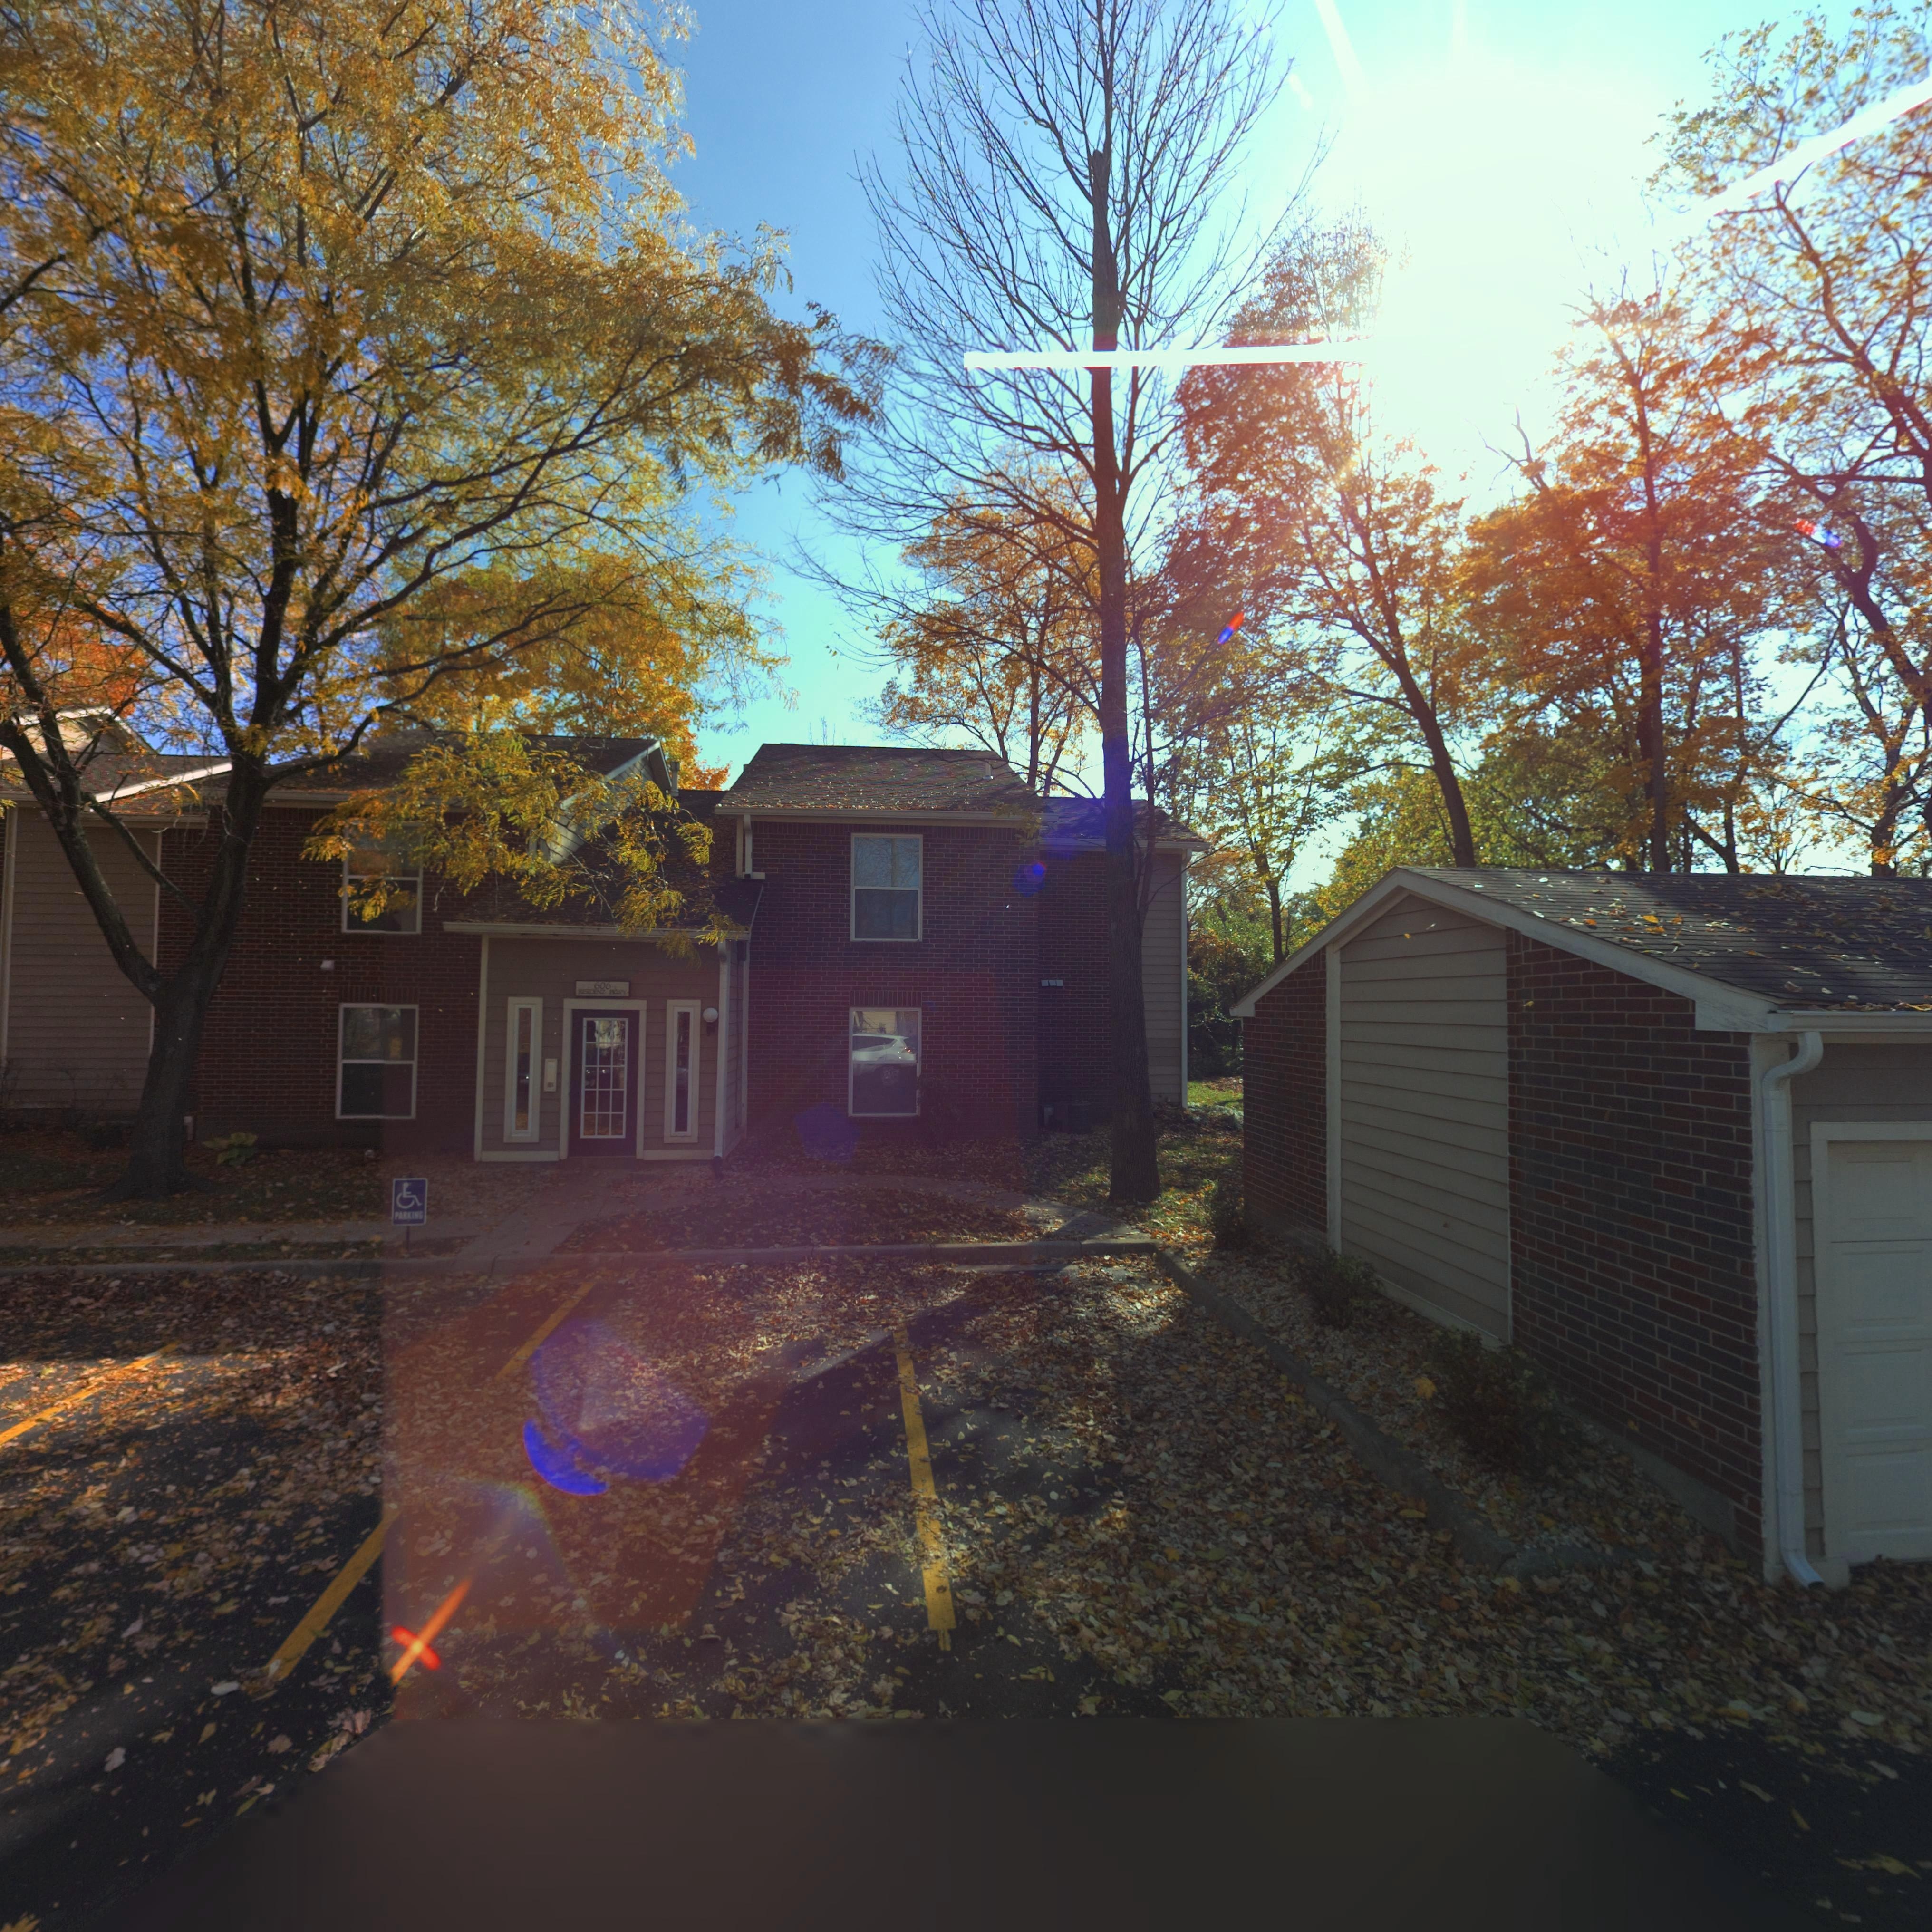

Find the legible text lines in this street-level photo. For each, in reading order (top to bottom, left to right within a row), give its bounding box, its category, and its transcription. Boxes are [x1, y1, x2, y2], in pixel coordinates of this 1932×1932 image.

[593, 980, 612, 990] StreetNumber: 606
[394, 1209, 425, 1221] None: PA**I**